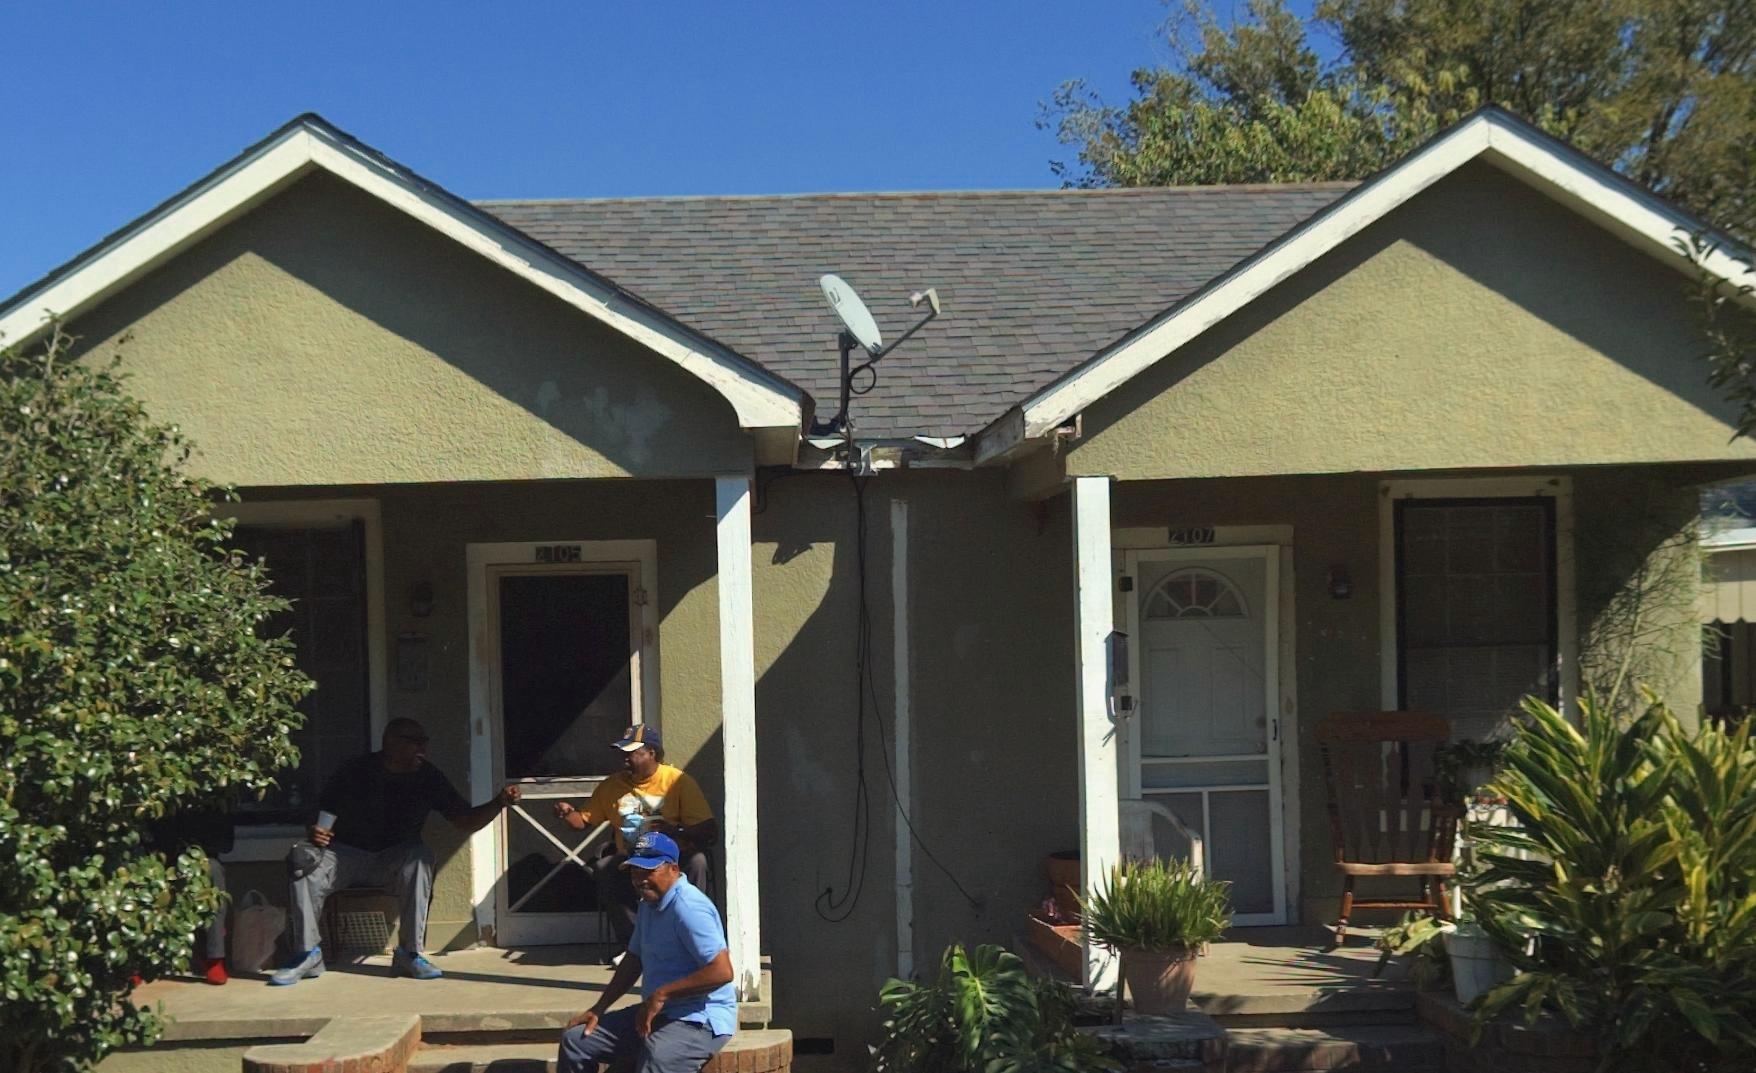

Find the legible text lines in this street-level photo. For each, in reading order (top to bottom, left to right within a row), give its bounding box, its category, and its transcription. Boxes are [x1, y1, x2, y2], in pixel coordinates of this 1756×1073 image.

[1168, 525, 1215, 546] StreetNumber: 2107
[535, 544, 583, 564] StreetNumber: 2105